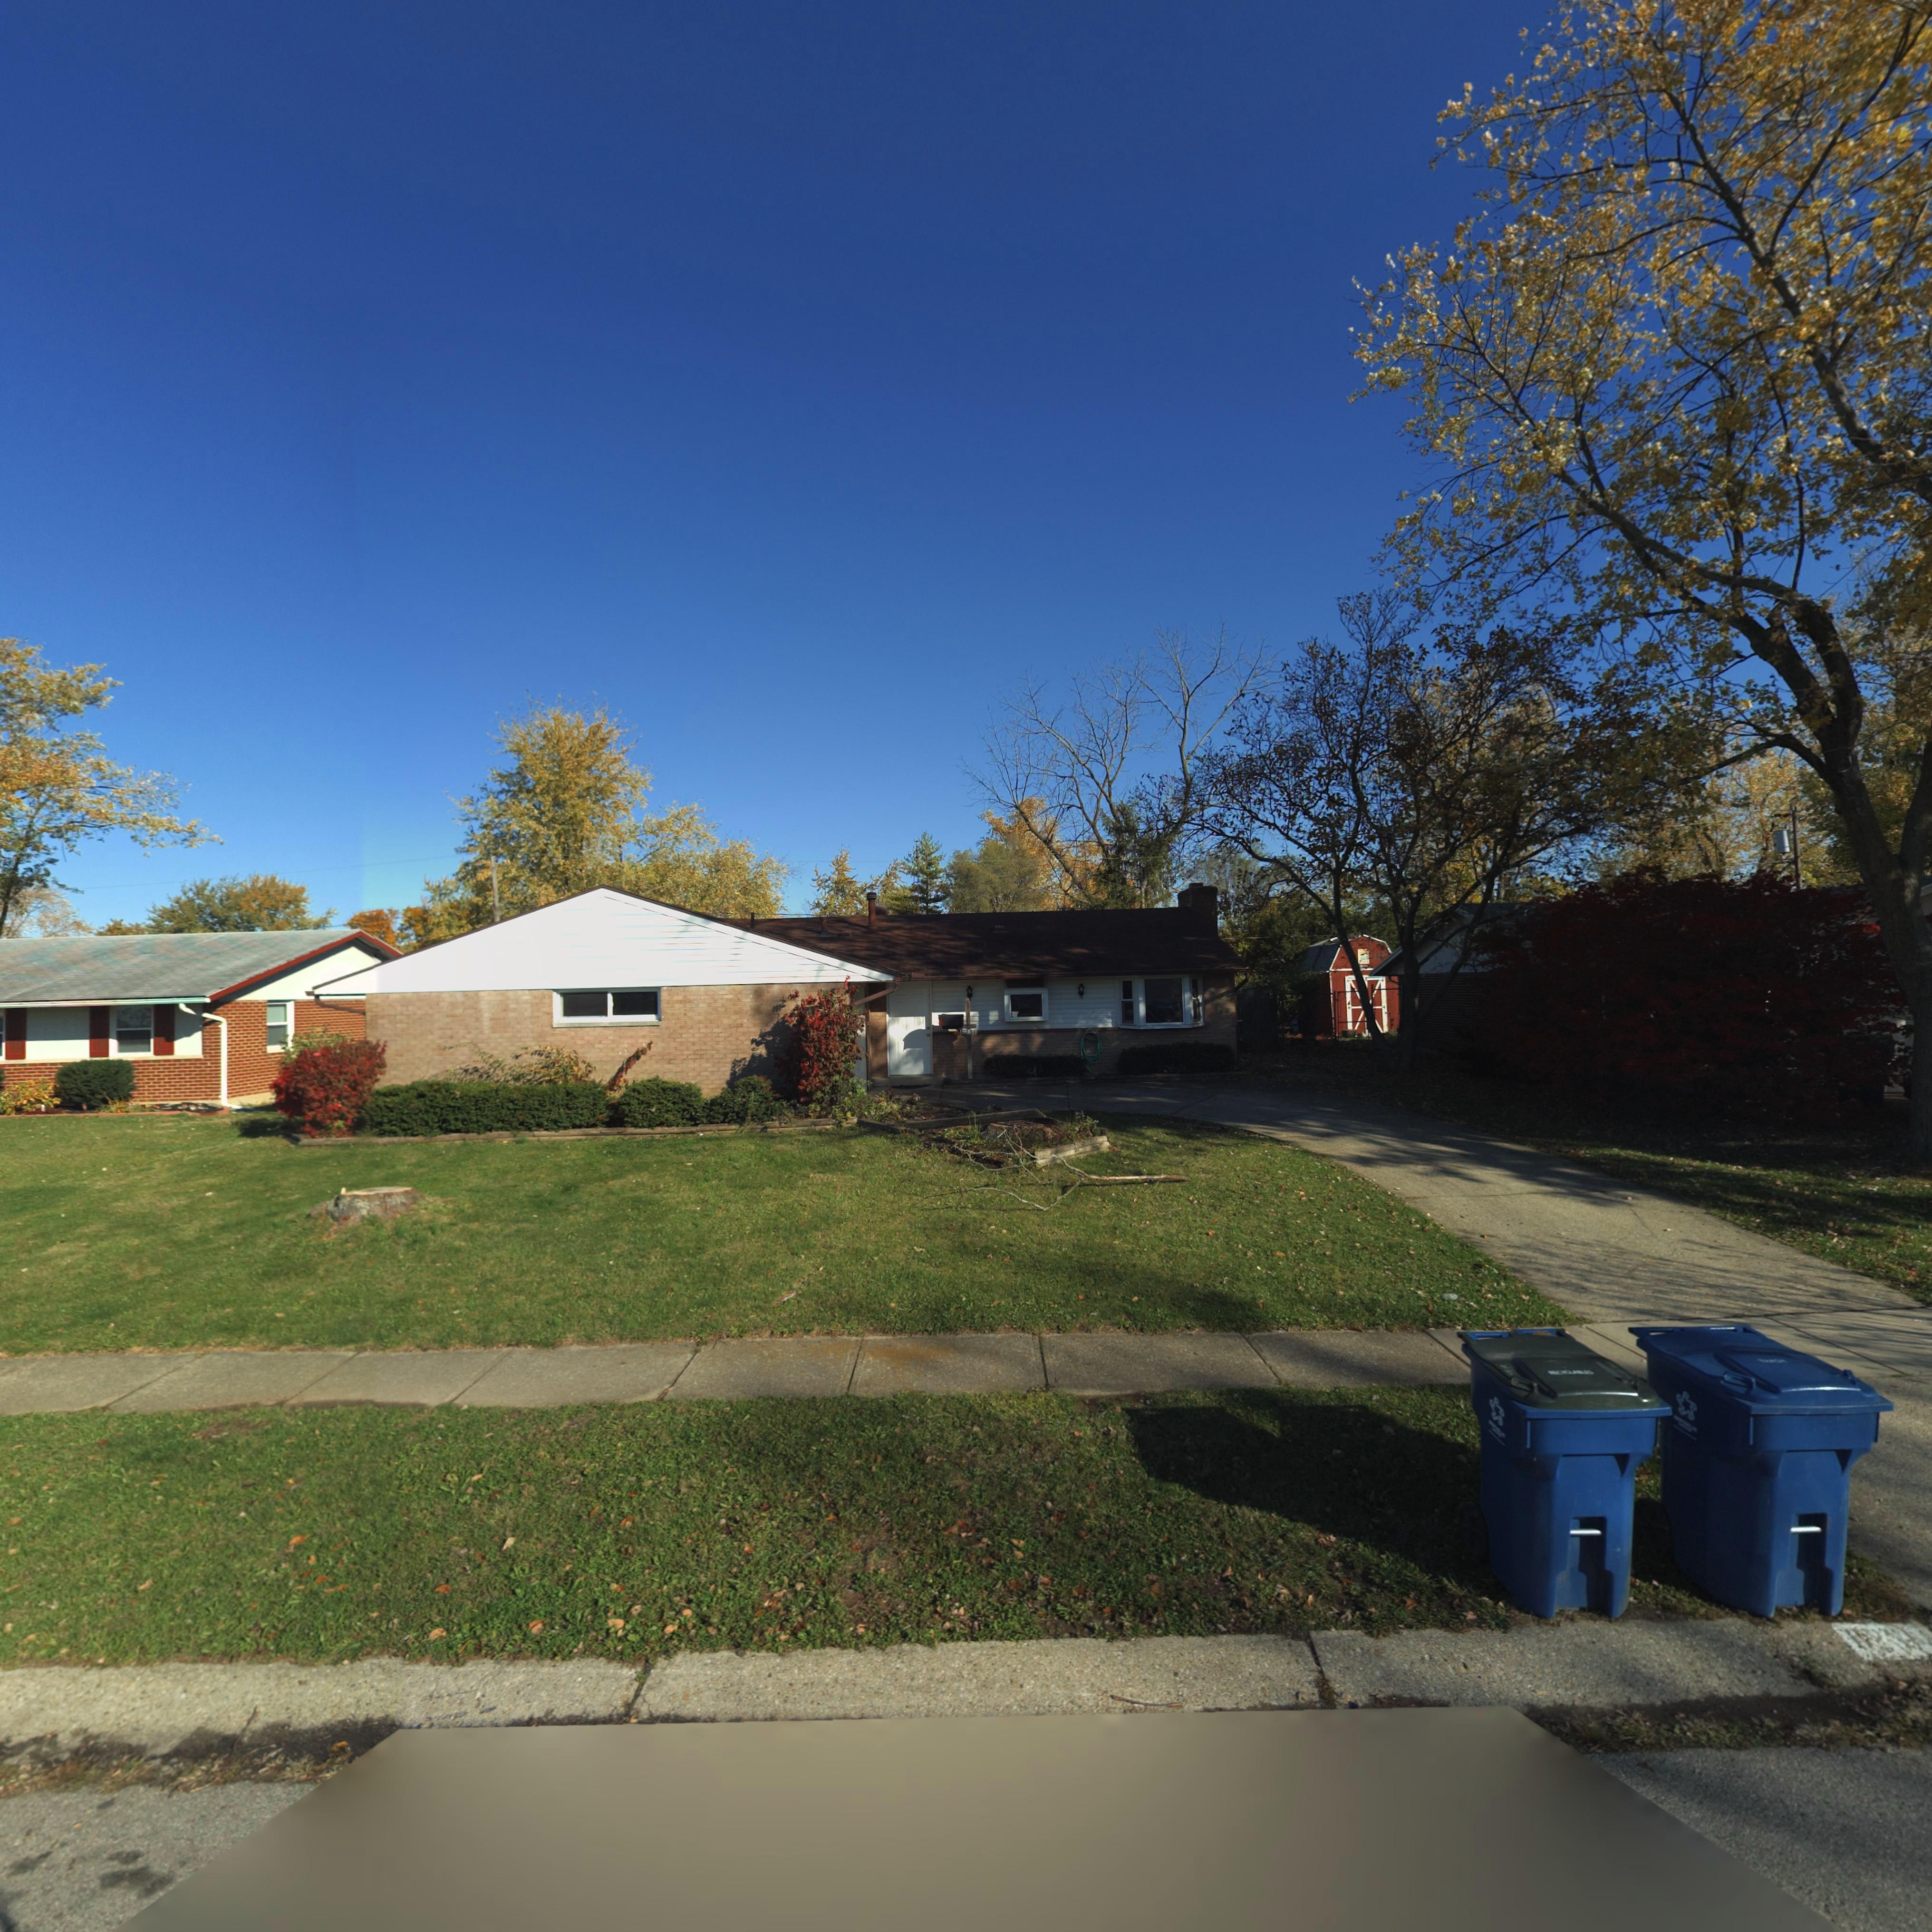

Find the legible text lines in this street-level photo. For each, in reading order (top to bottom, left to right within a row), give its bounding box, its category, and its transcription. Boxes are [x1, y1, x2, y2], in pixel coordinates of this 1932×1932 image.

[960, 1029, 976, 1036] StreetNumber: 6231
[1842, 1626, 1916, 1653] StreetNumber: 623